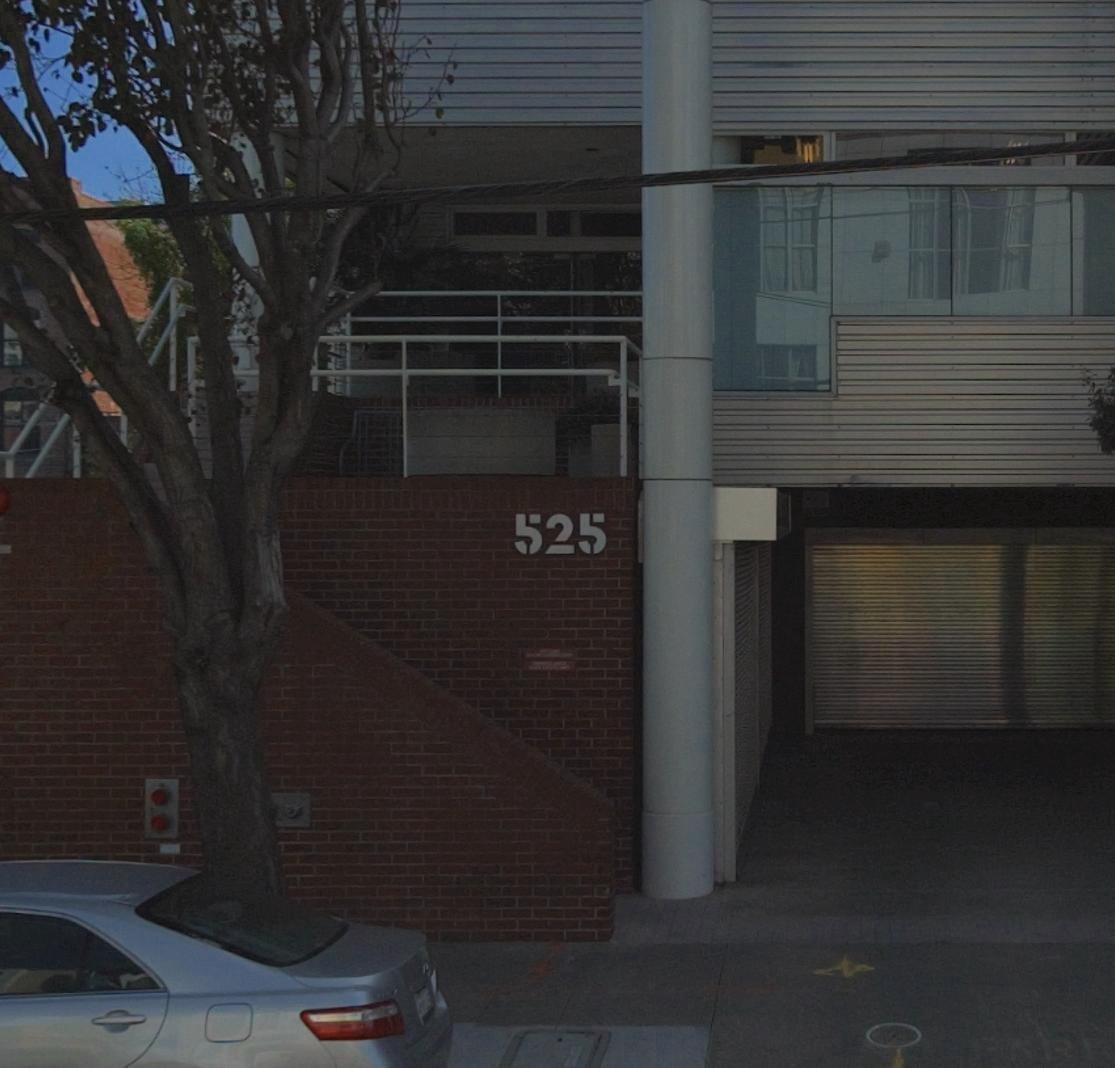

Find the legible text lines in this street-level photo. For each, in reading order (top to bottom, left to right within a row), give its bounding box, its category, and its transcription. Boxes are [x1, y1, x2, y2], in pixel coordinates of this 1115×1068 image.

[508, 507, 612, 559] StreetNumber: 525